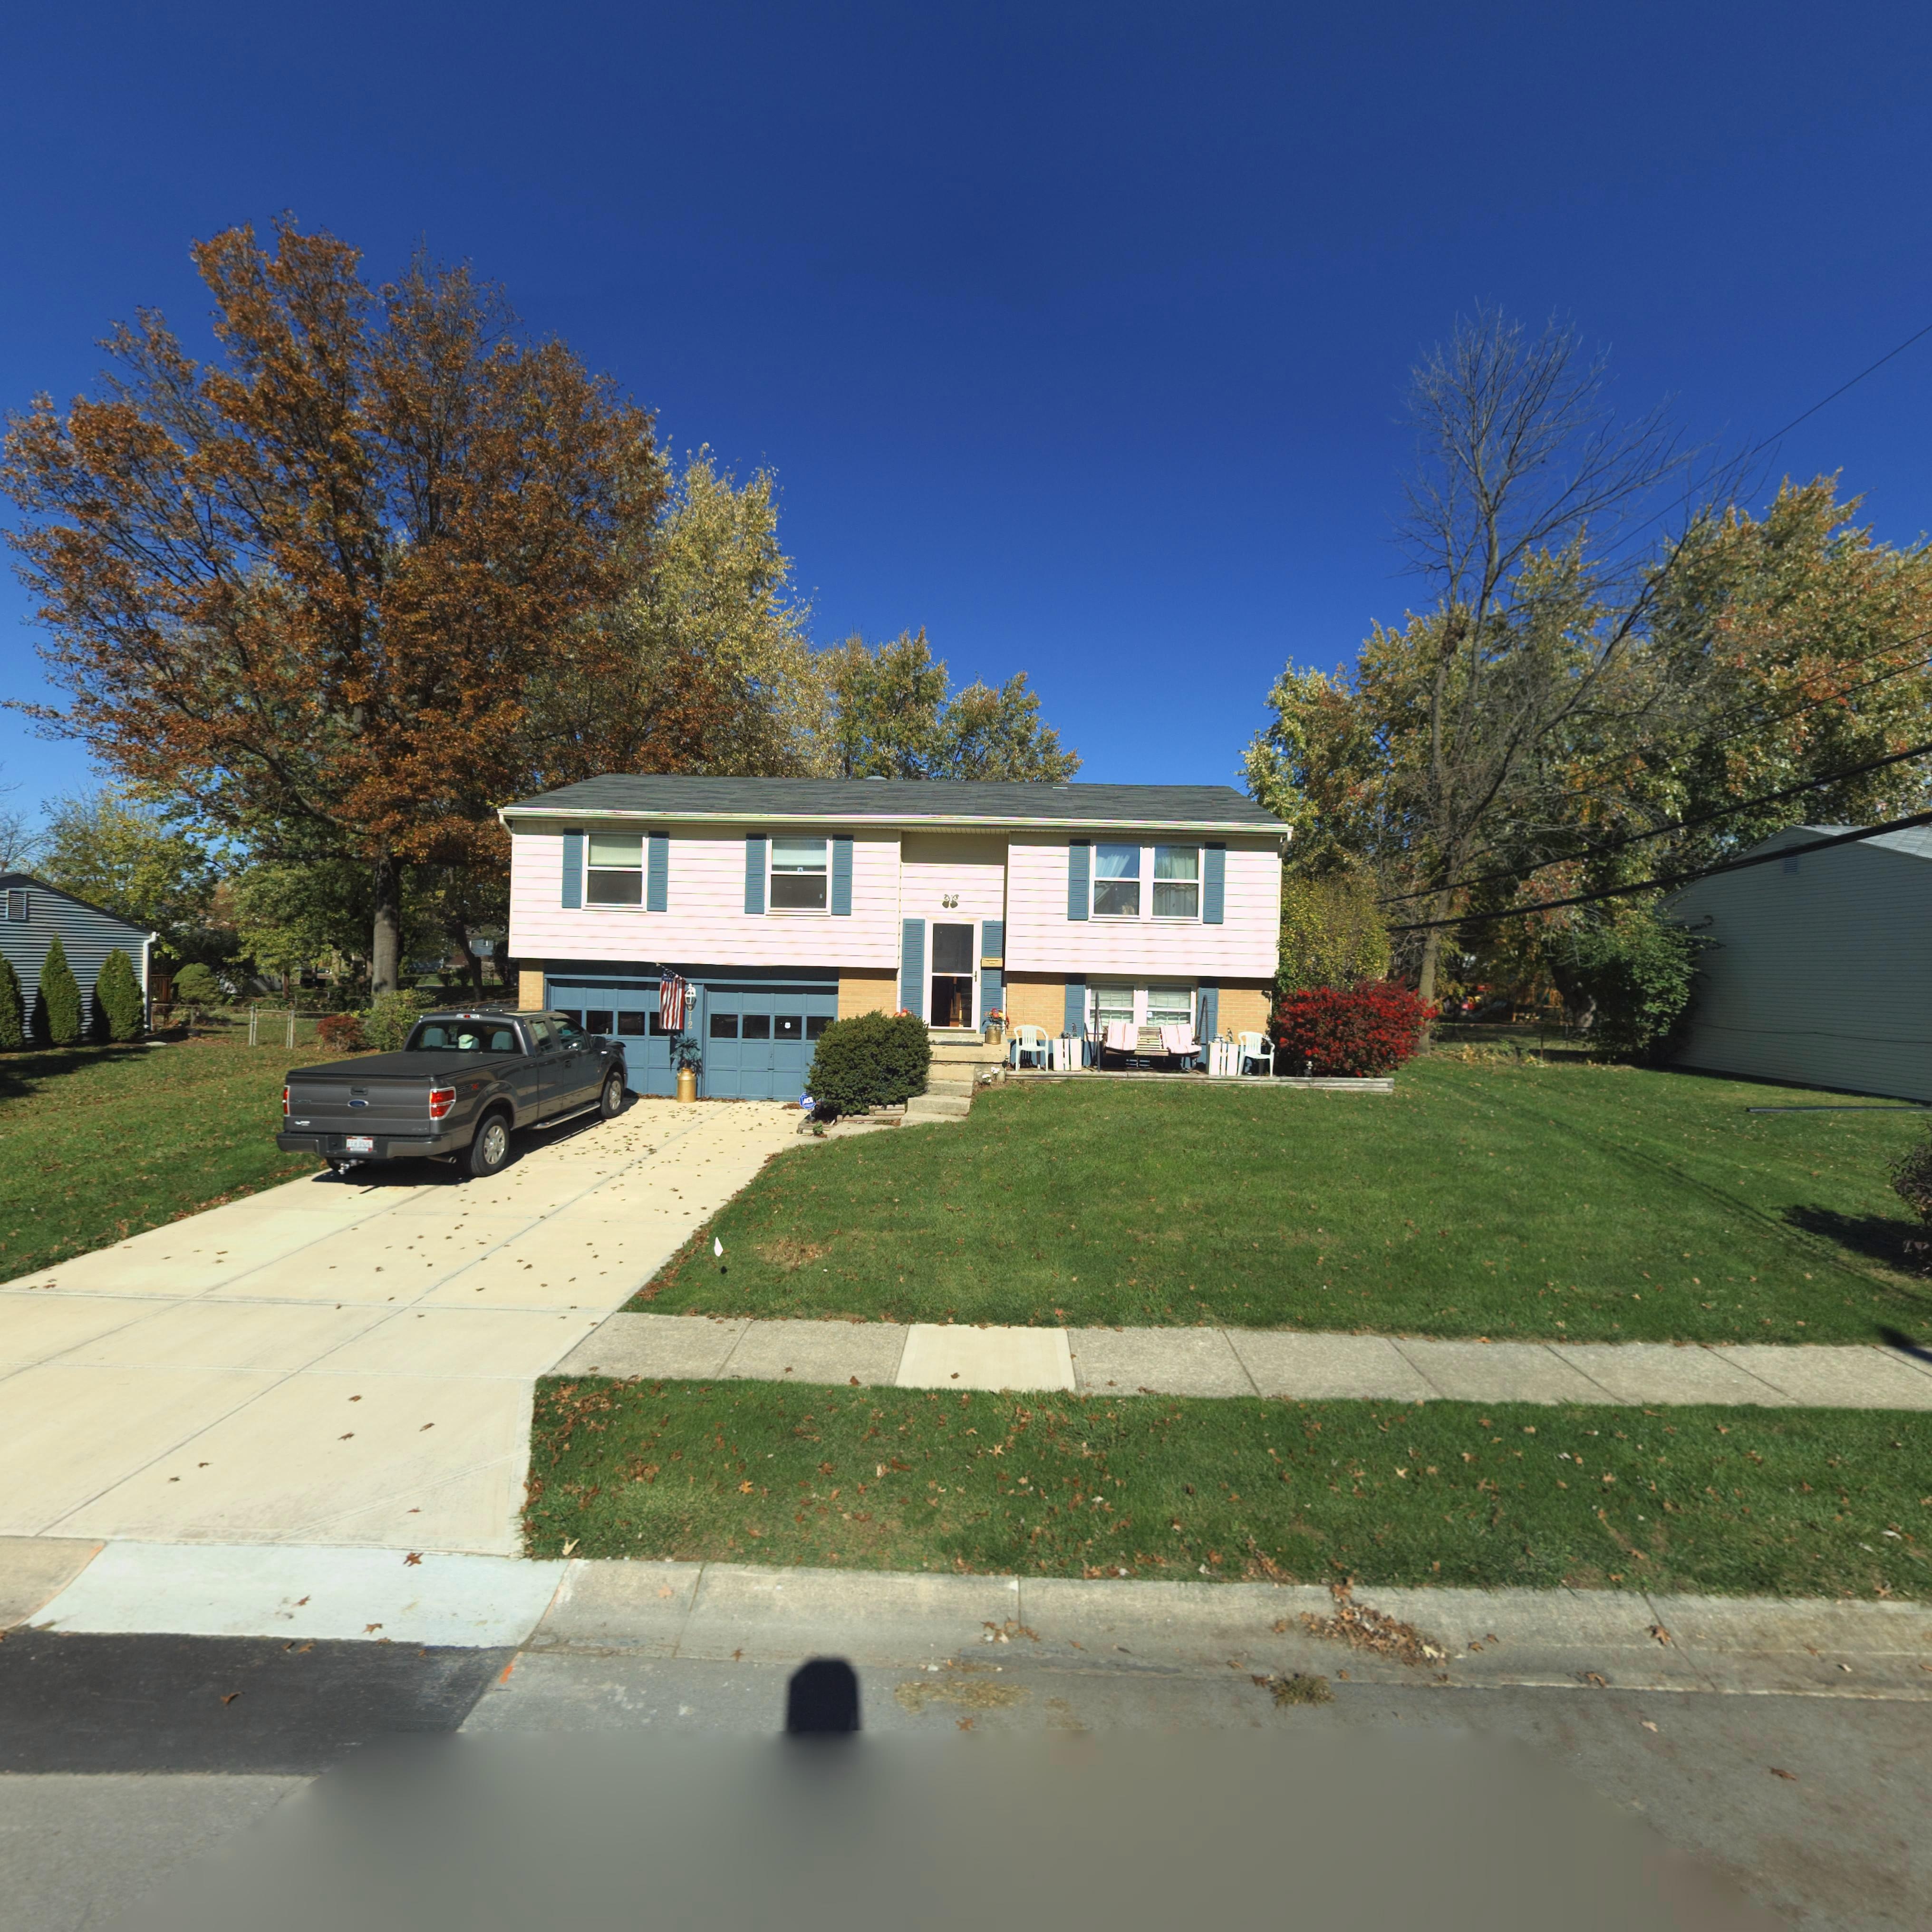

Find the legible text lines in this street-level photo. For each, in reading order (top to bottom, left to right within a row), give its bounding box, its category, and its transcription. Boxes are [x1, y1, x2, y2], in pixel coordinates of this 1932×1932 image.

[686, 1004, 694, 1030] StreetNumber: 212